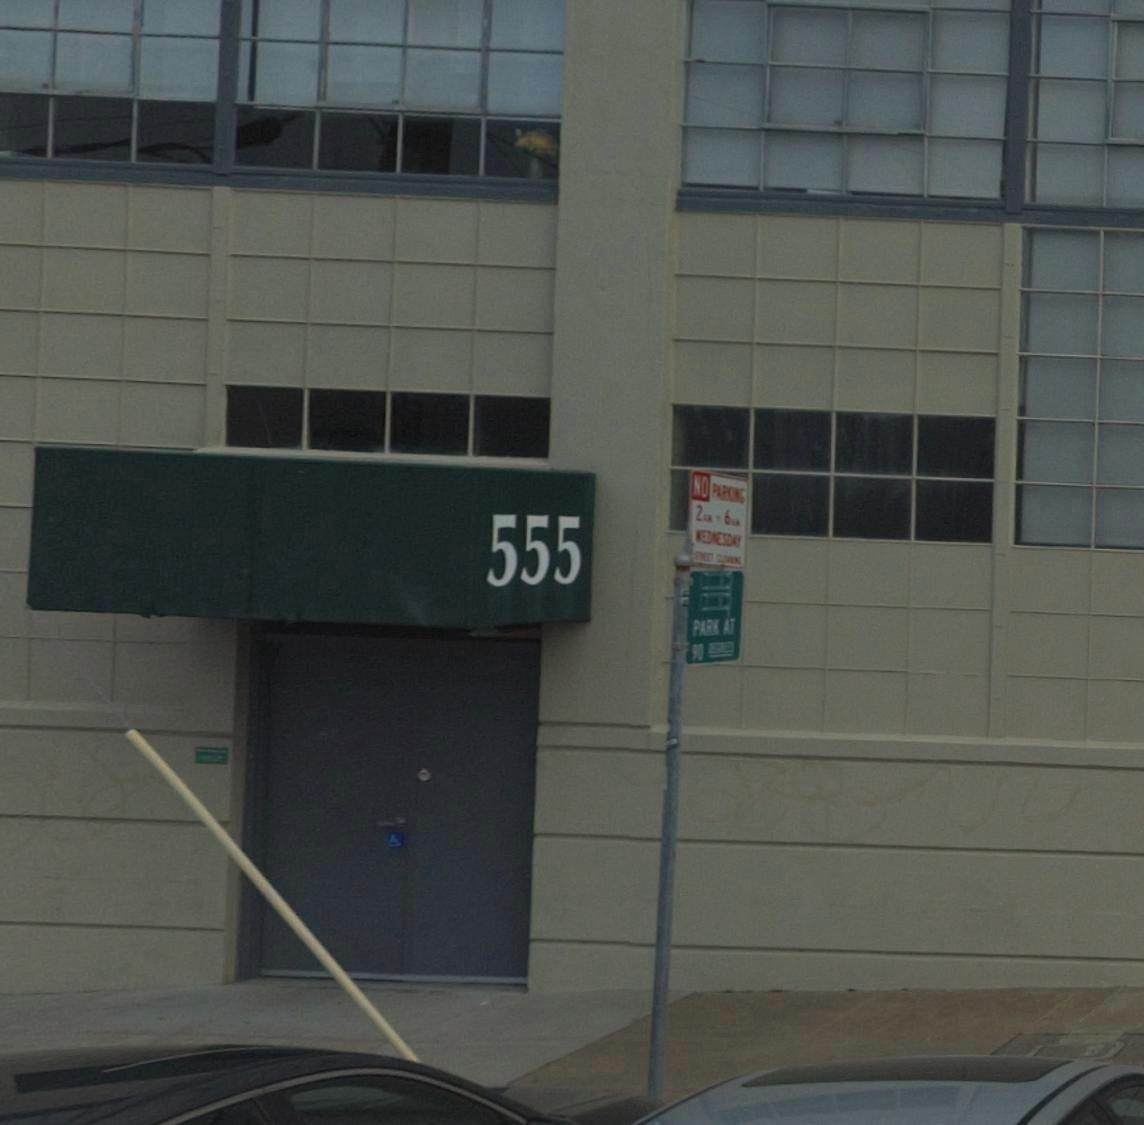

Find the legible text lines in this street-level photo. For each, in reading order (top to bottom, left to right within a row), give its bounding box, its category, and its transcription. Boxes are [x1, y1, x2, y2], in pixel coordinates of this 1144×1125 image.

[691, 472, 747, 506] None: NO PARKING
[694, 502, 704, 523] None: 2
[722, 508, 735, 526] None: 6
[694, 527, 743, 548] None: WEDNESDAY
[483, 508, 586, 591] StreetNumber: 555
[691, 548, 745, 567] None: STREET CLEANING
[690, 616, 739, 638] None: PARK AT
[691, 641, 705, 661] None: 90